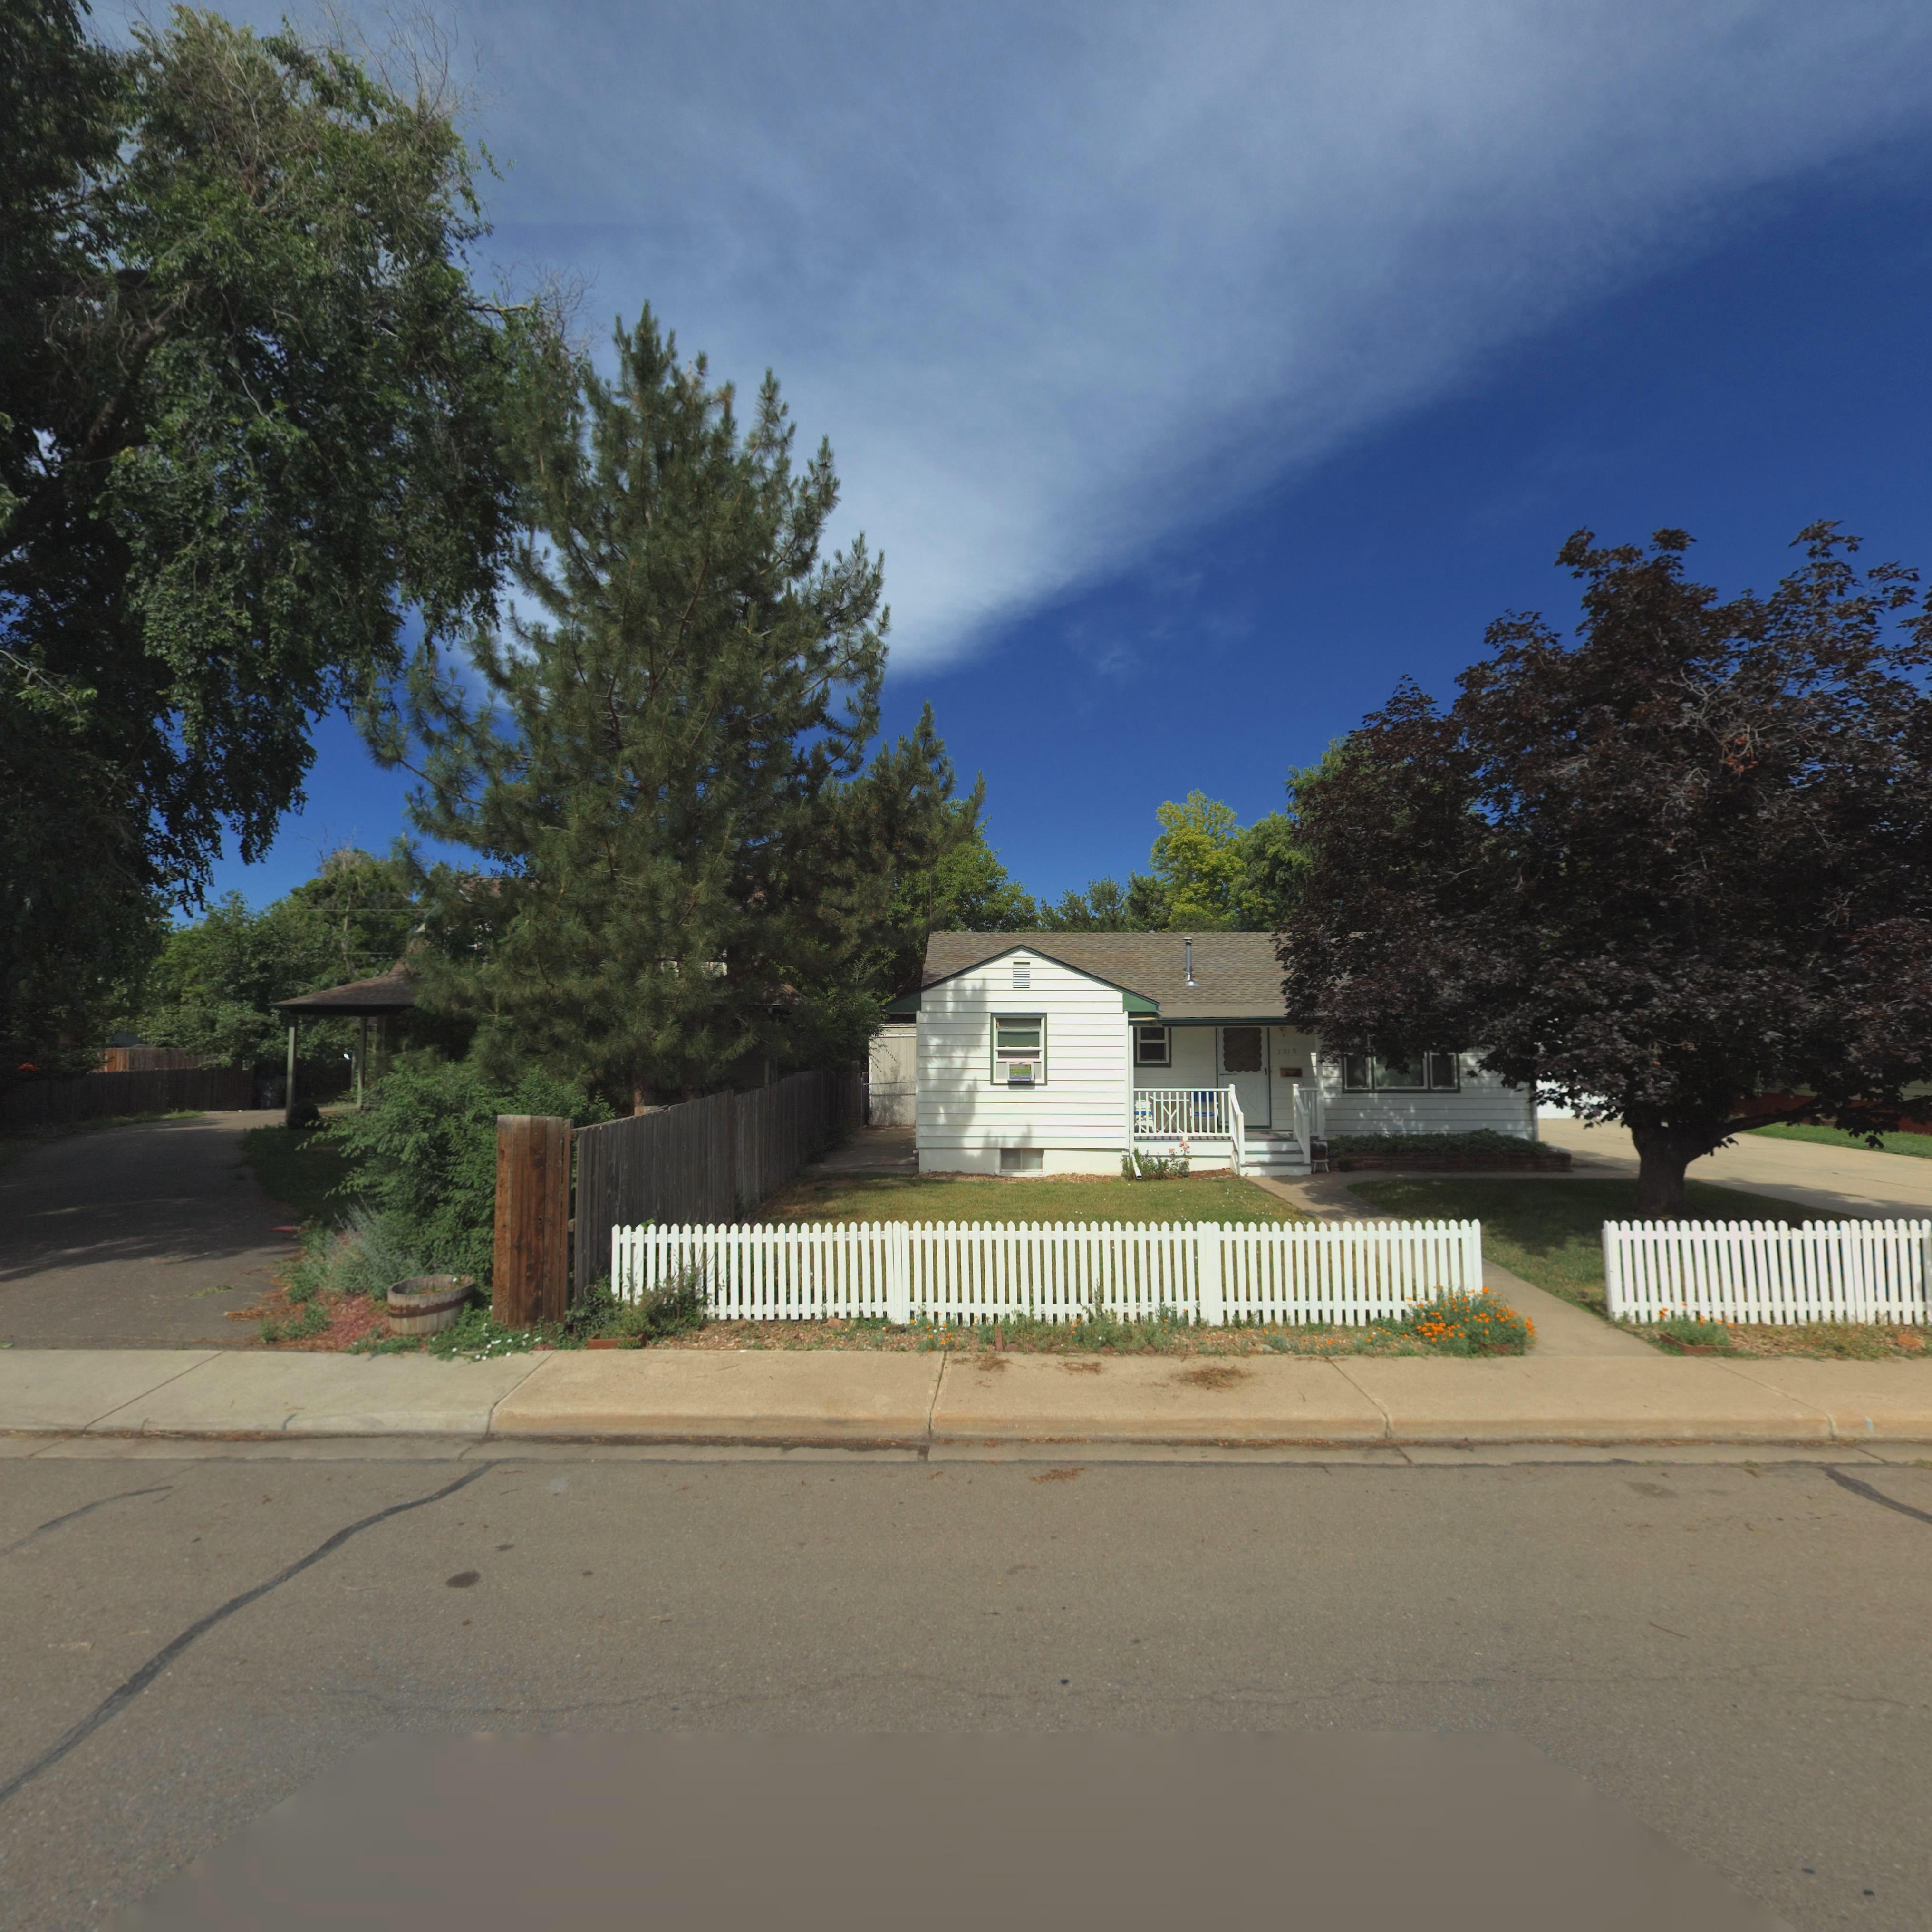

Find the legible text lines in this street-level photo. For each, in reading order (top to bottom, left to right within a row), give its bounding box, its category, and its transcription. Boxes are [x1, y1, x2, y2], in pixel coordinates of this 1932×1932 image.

[1278, 1049, 1296, 1054] StreetNumber: 15*5